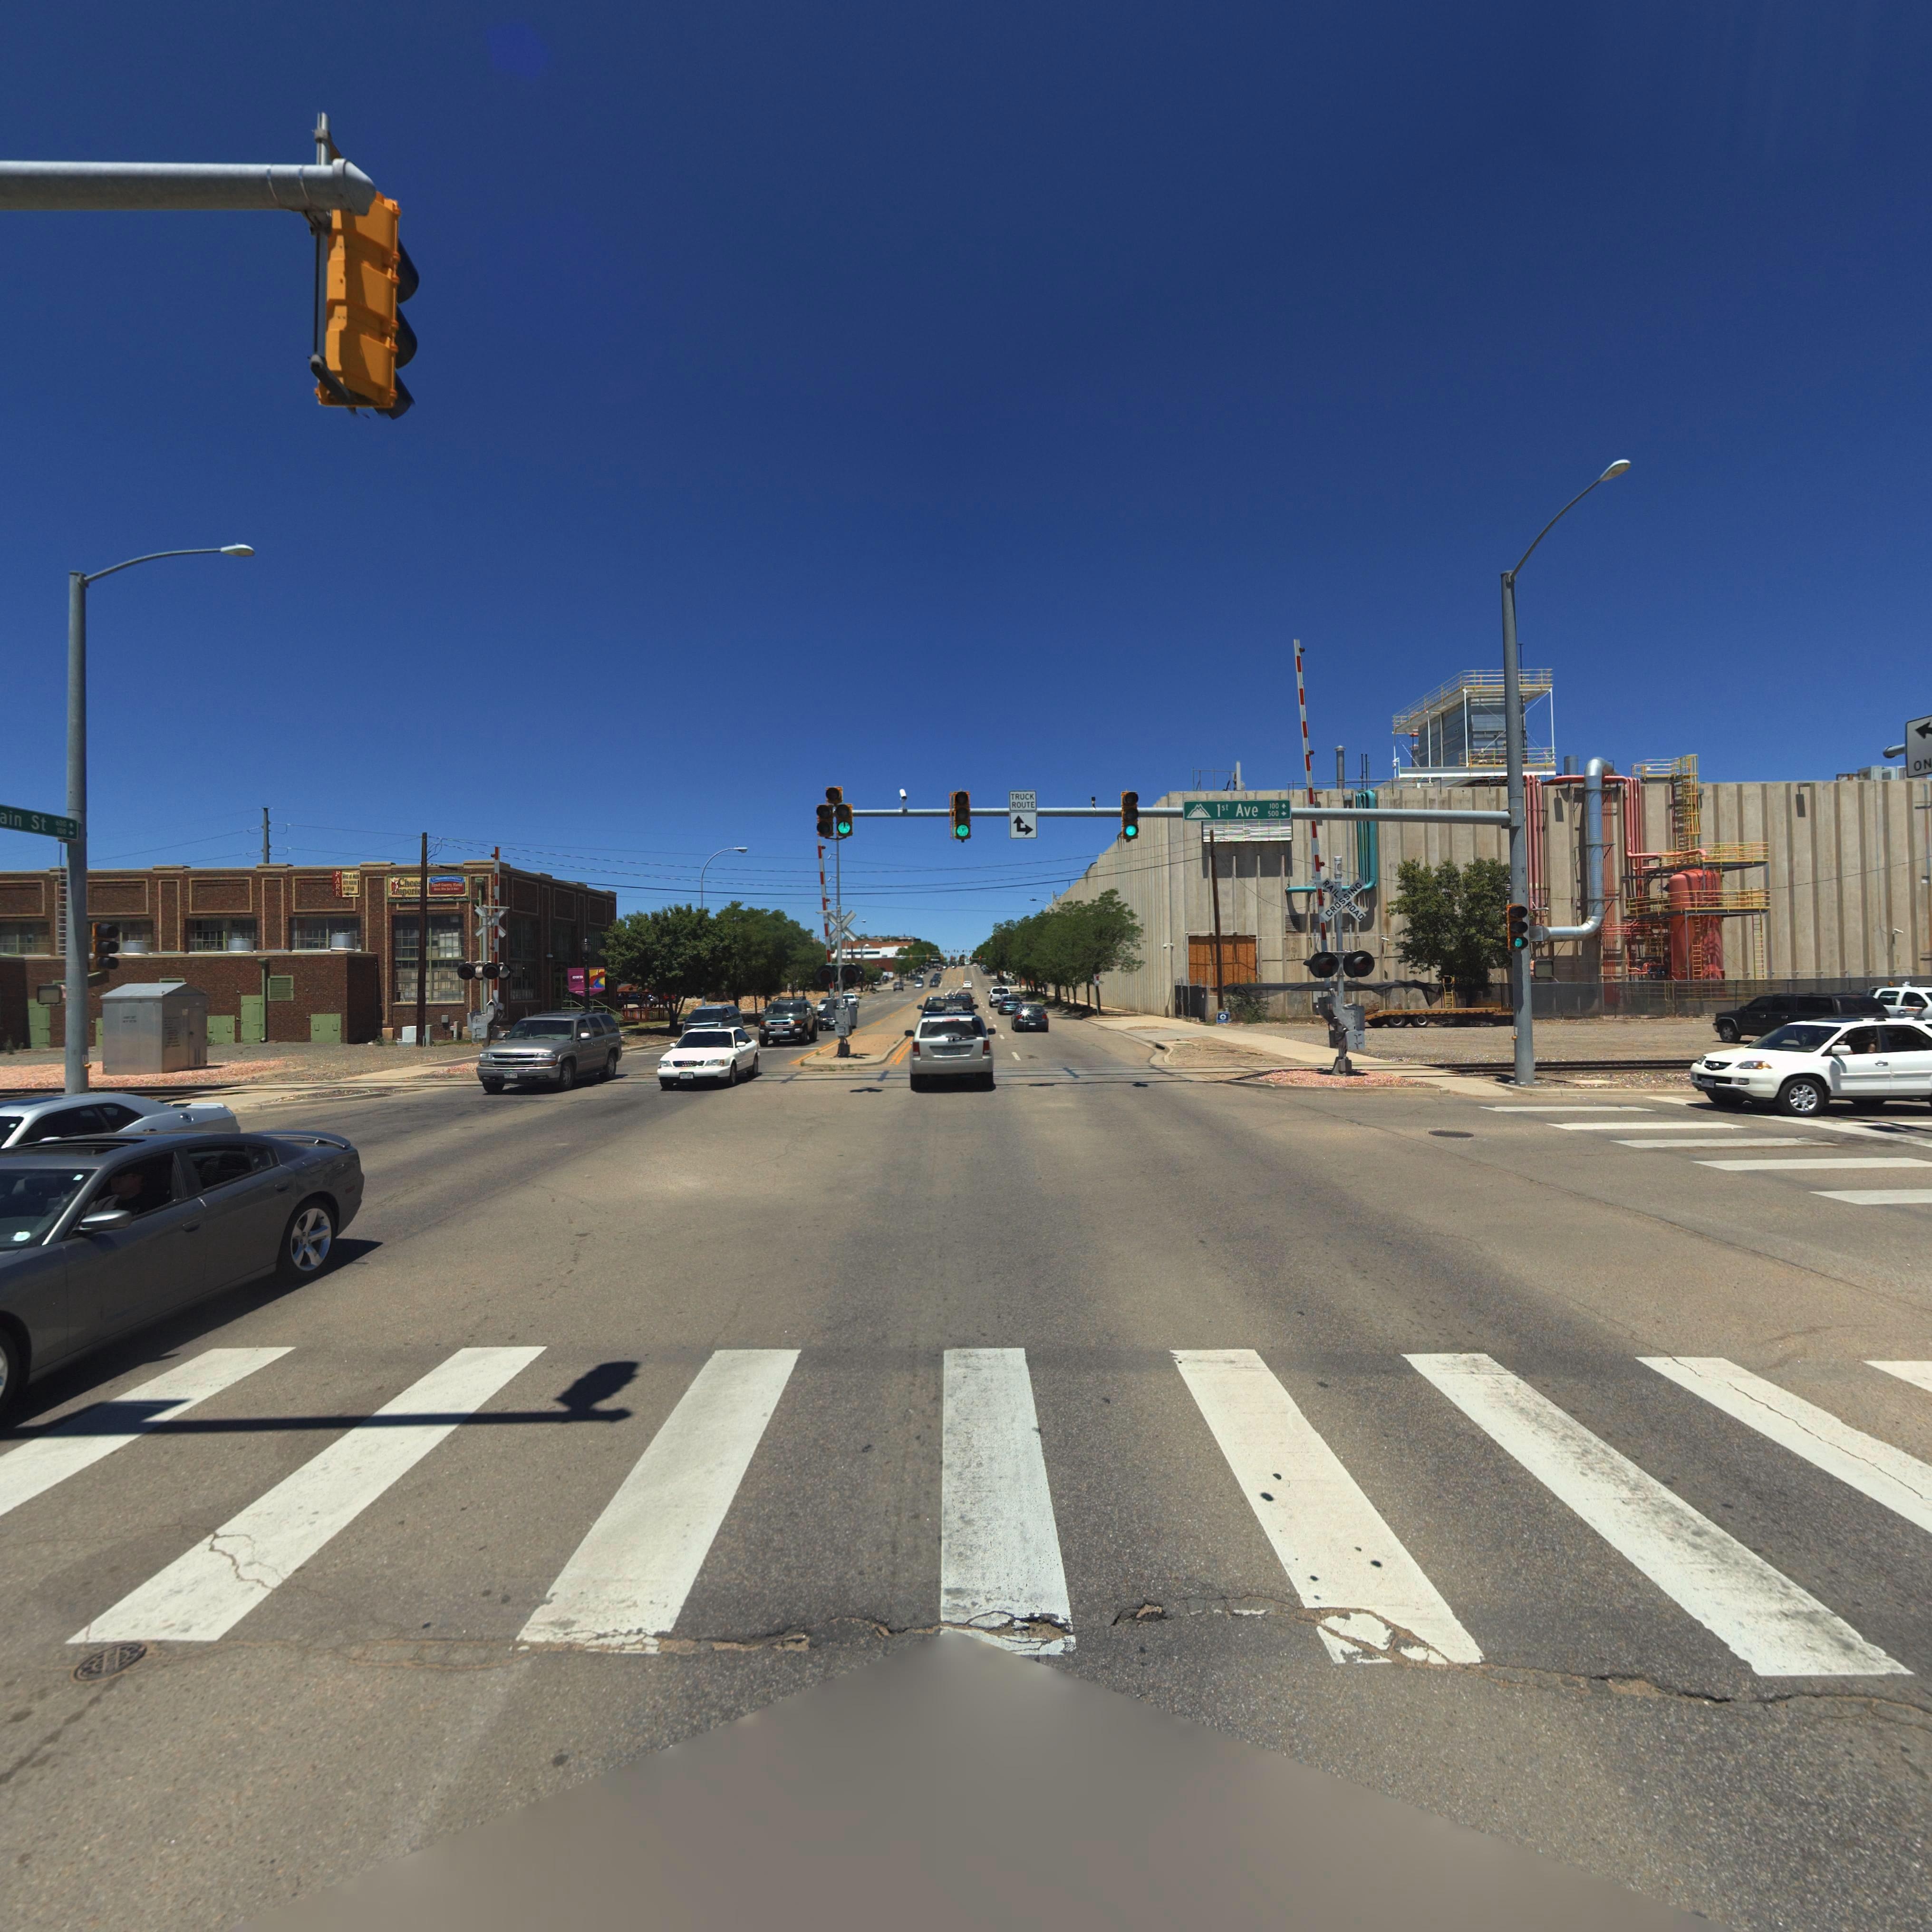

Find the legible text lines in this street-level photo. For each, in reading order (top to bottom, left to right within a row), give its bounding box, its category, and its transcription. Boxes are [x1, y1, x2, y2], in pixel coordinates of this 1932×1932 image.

[1216, 803, 1258, 817] StreetName: 1st Ave
[1269, 802, 1279, 809] StreetNumberRange: 100
[1267, 810, 1287, 817] StreetNumberRange: 500->
[0, 810, 47, 831] StreetName: ain St
[55, 818, 67, 828] StreetNumberRange: 600
[57, 827, 75, 836] StreetNumberRange: 100->
[397, 877, 421, 887] BusinessName: Ch*ee*
[393, 885, 421, 895] BusinessName: Import*